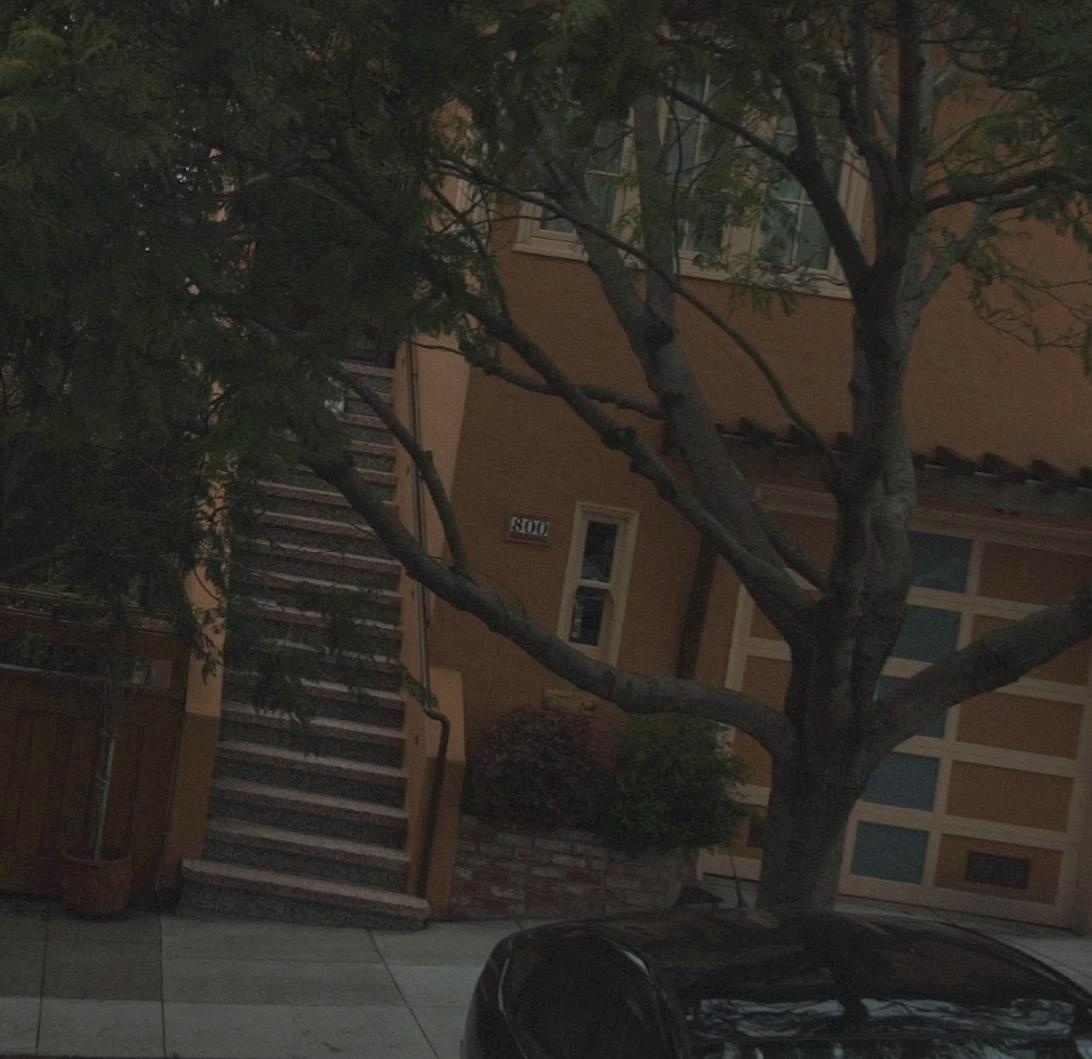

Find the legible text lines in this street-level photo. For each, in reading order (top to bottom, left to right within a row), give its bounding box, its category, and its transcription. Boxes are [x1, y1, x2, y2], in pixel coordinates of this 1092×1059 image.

[510, 515, 549, 537] StreetNumber: 800